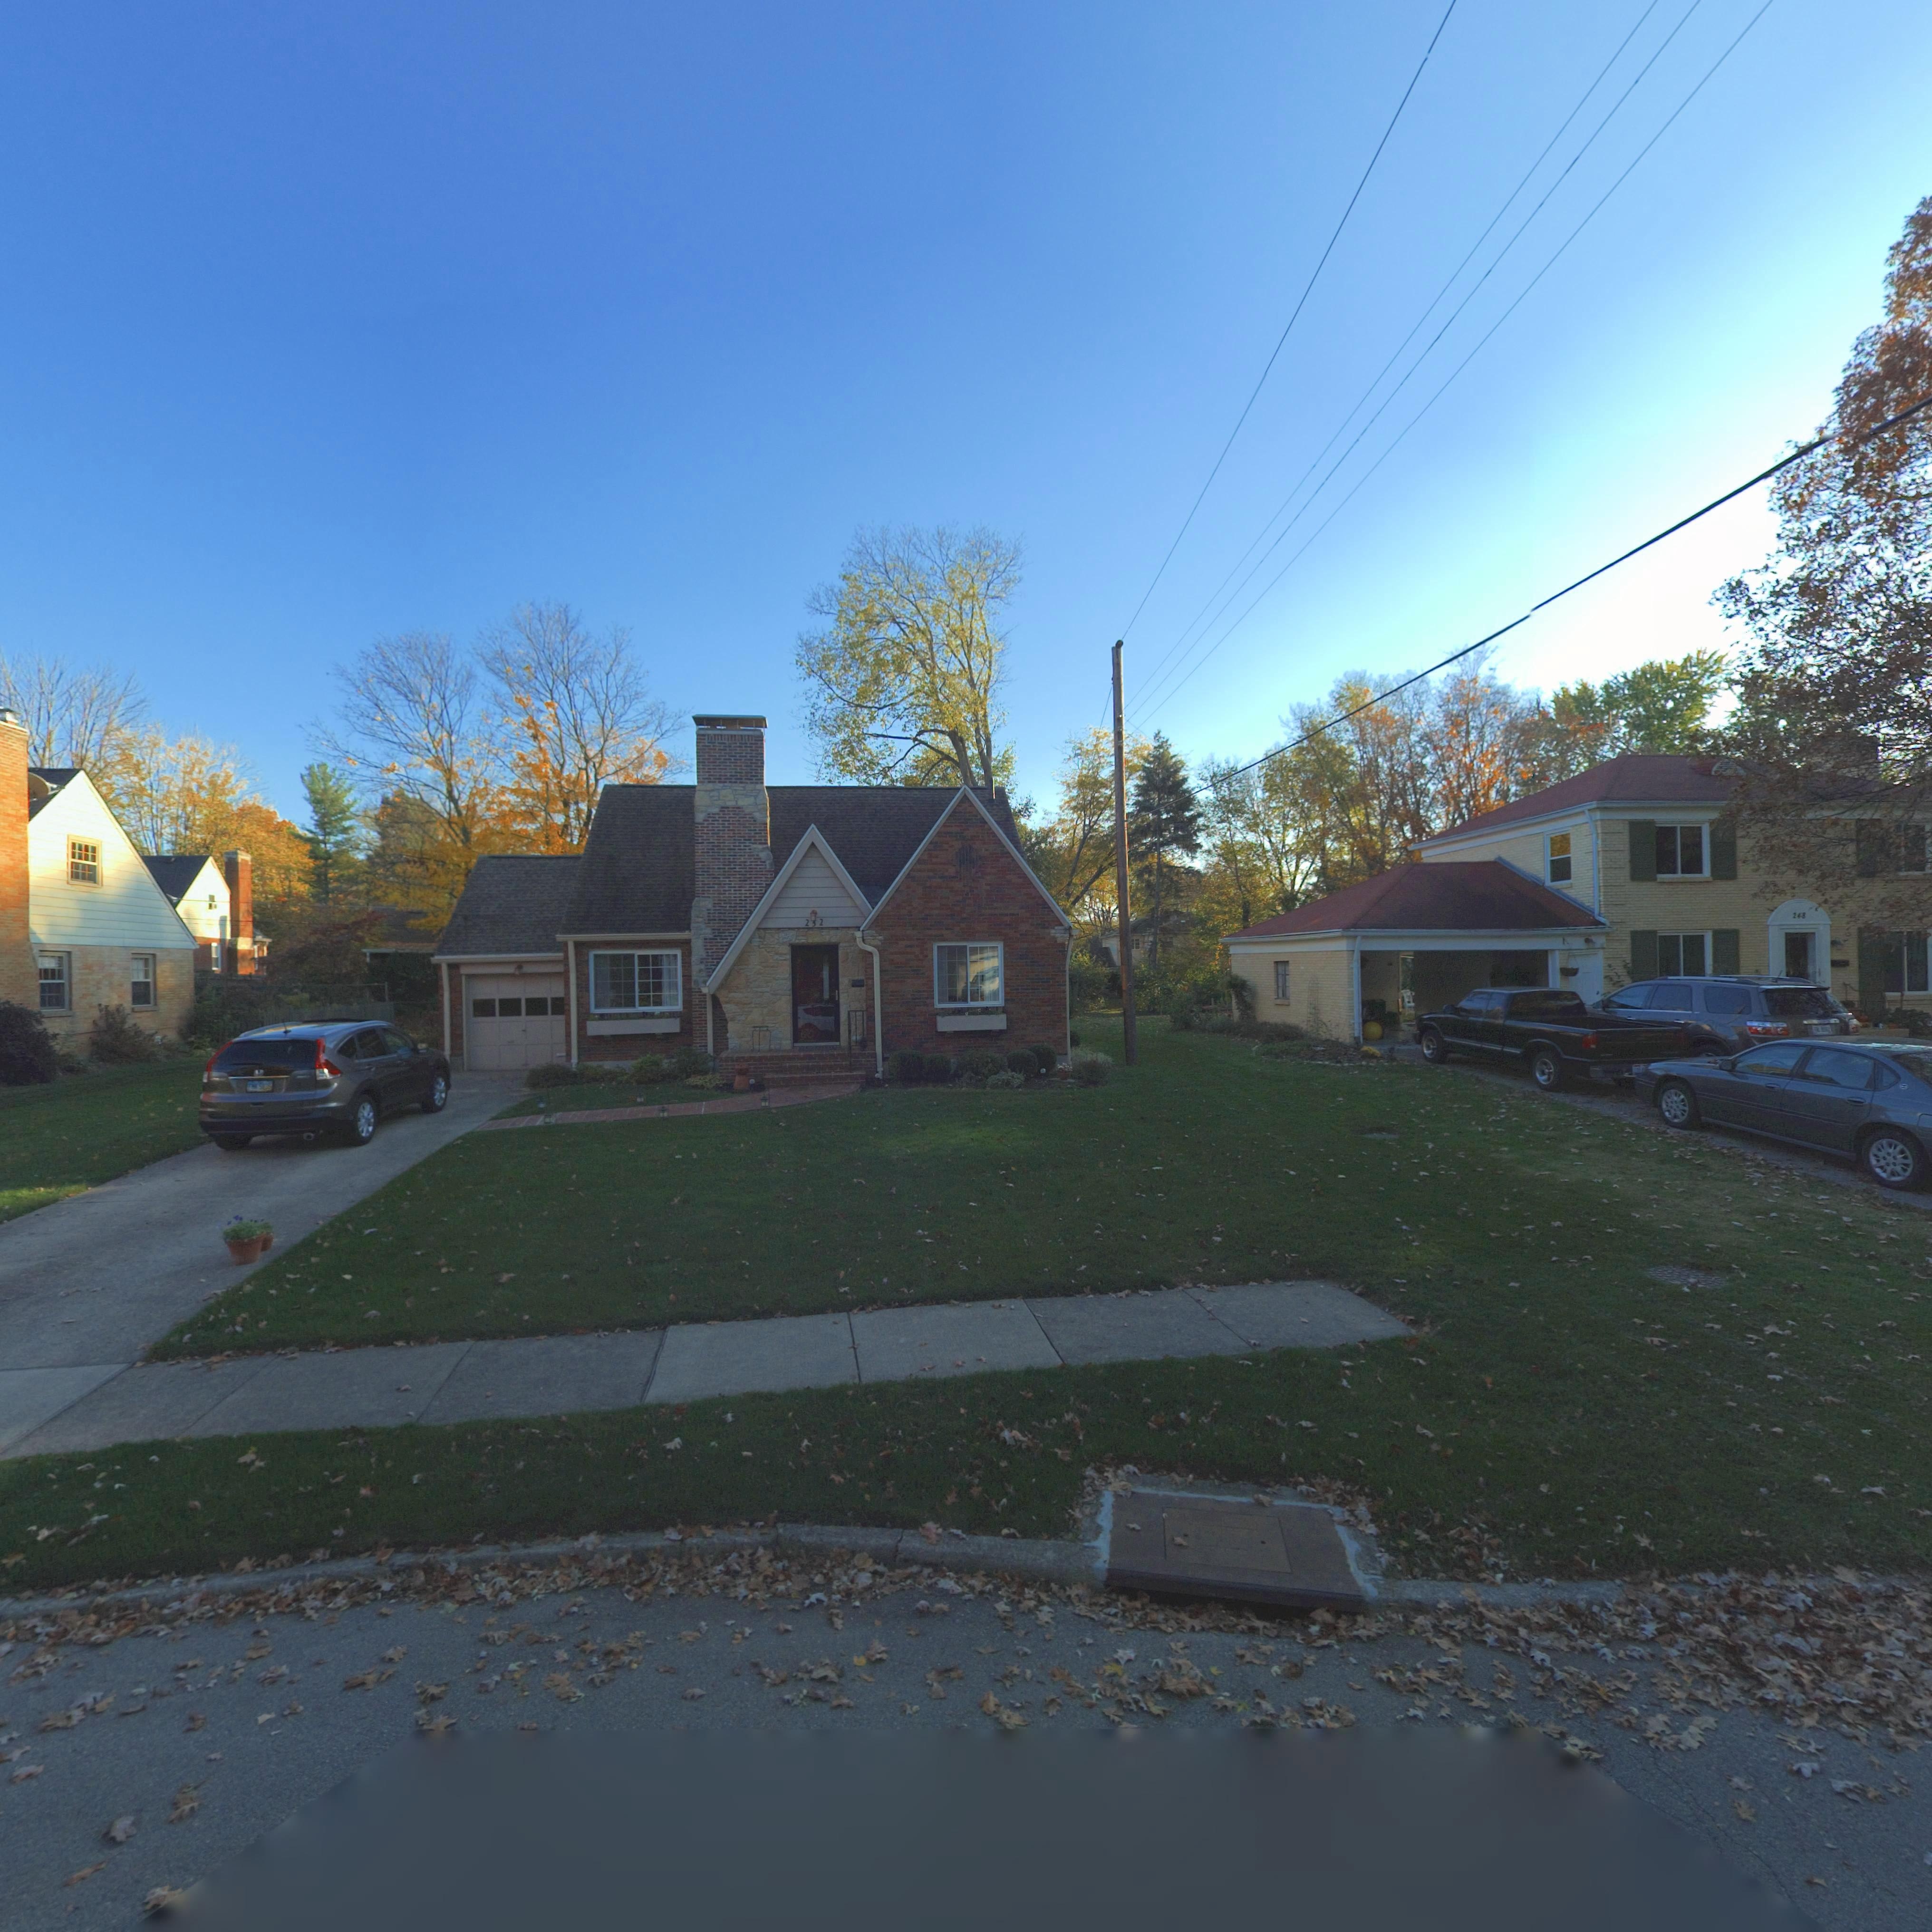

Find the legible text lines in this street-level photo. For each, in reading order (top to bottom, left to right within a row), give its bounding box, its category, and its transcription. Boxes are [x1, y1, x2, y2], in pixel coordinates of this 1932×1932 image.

[1793, 912, 1806, 919] StreetNumber: 245
[805, 918, 824, 927] StreetNumber: 232